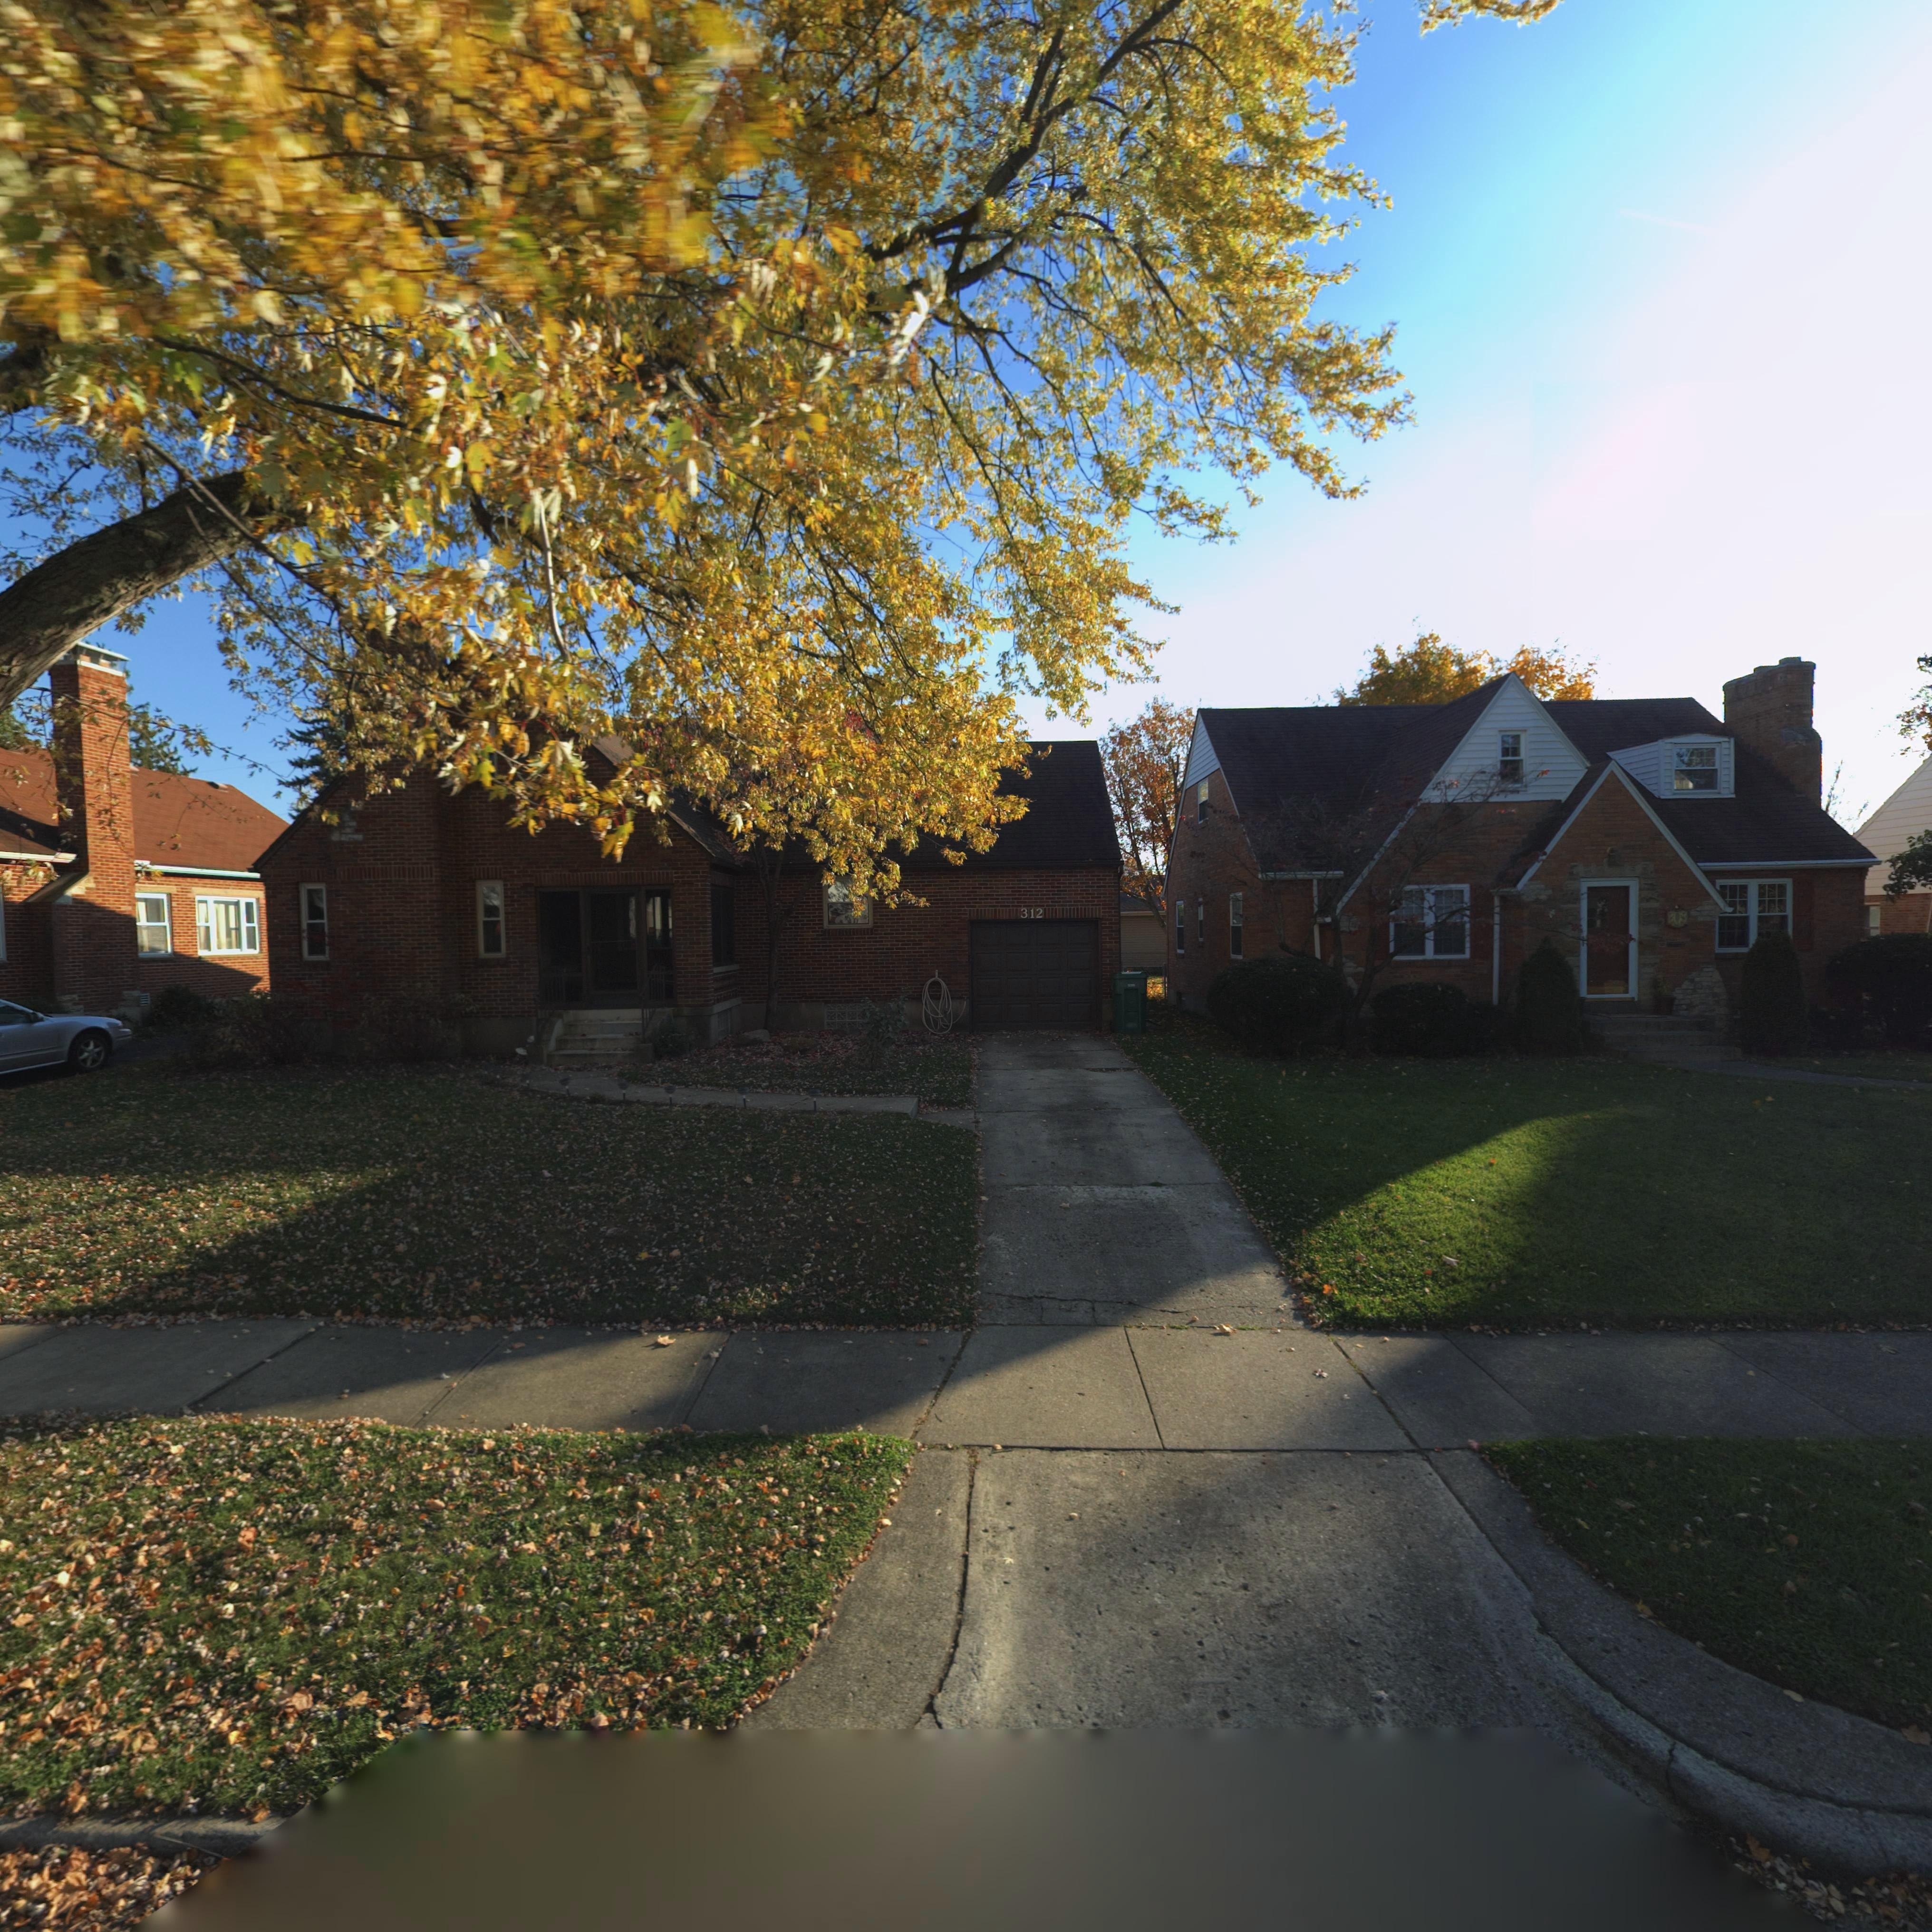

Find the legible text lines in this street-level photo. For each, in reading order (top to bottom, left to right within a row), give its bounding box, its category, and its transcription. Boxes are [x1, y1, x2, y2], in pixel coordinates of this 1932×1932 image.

[1020, 908, 1043, 918] StreetNumber: 312
[1667, 910, 1688, 927] StreetNumber: 308